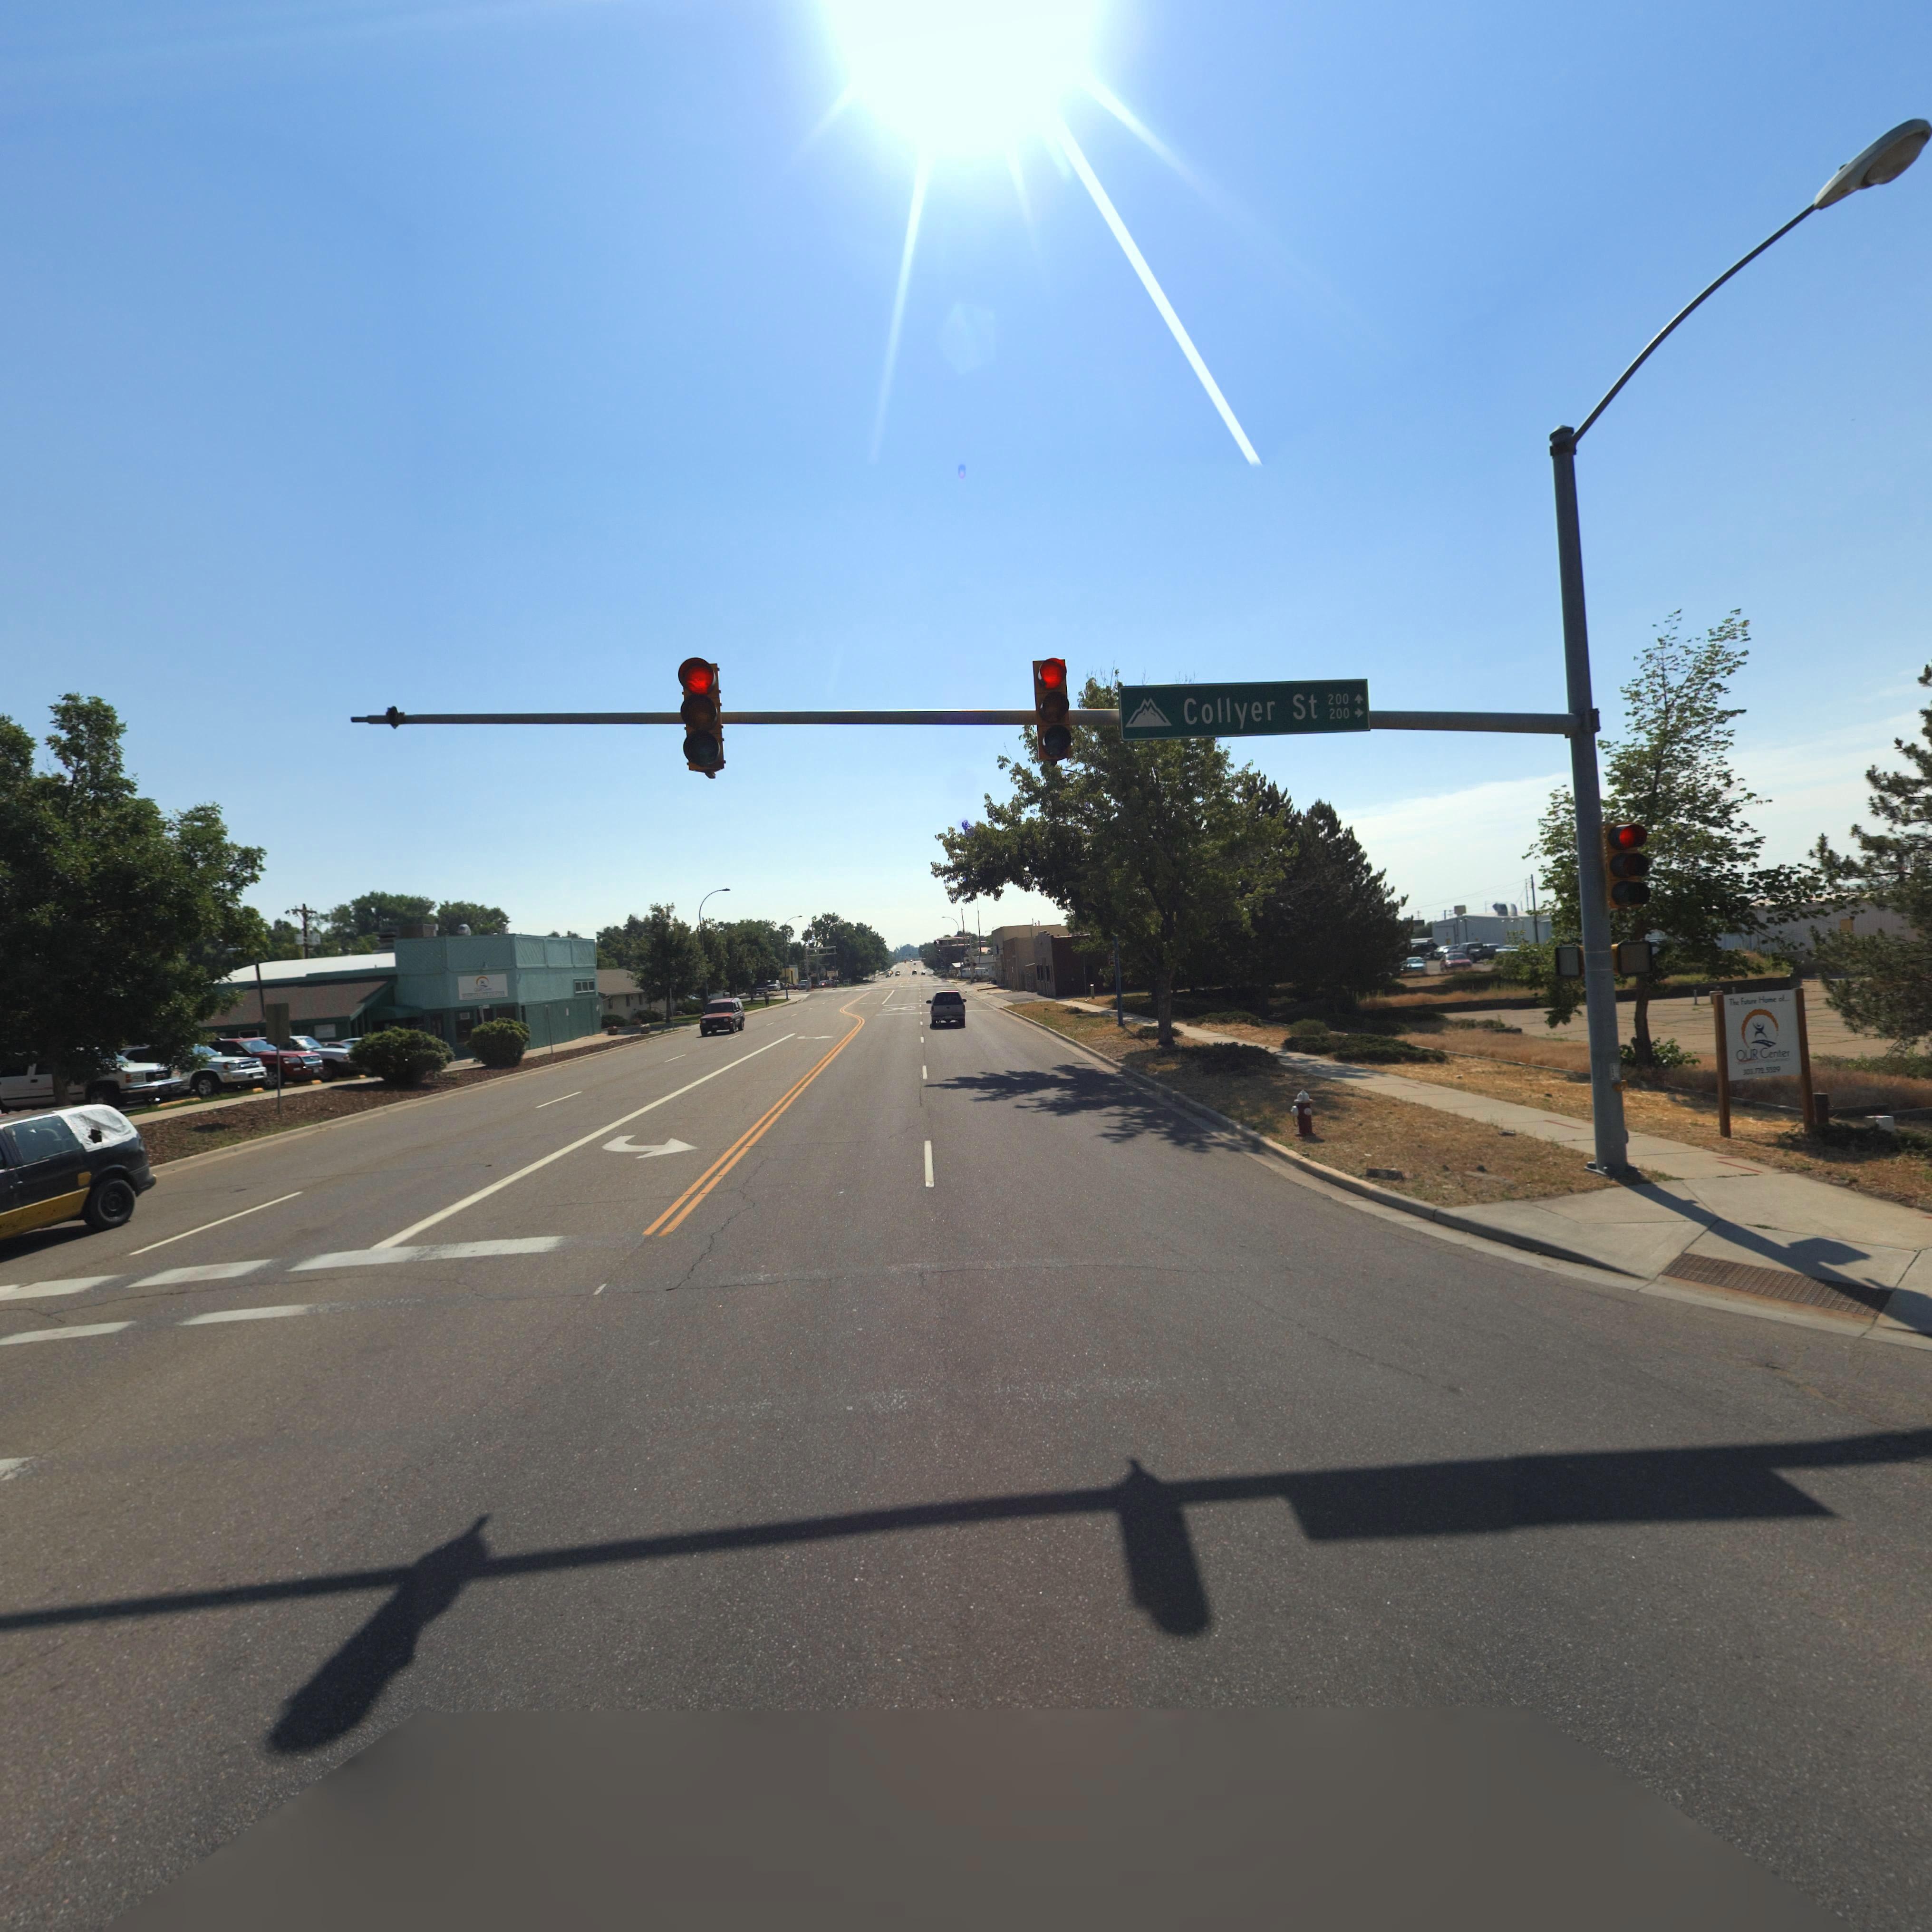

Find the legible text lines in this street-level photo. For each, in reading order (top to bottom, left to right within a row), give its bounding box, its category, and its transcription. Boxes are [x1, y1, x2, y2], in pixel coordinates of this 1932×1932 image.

[1327, 693, 1349, 705] StreetNumberRange: 200
[1183, 693, 1319, 731] StreetName: Collyer St
[1328, 707, 1365, 720] StreetNumberRange: 200->
[473, 987, 492, 992] BusinessName: O** ******
[1735, 1047, 1790, 1061] BusinessName: OUR Center